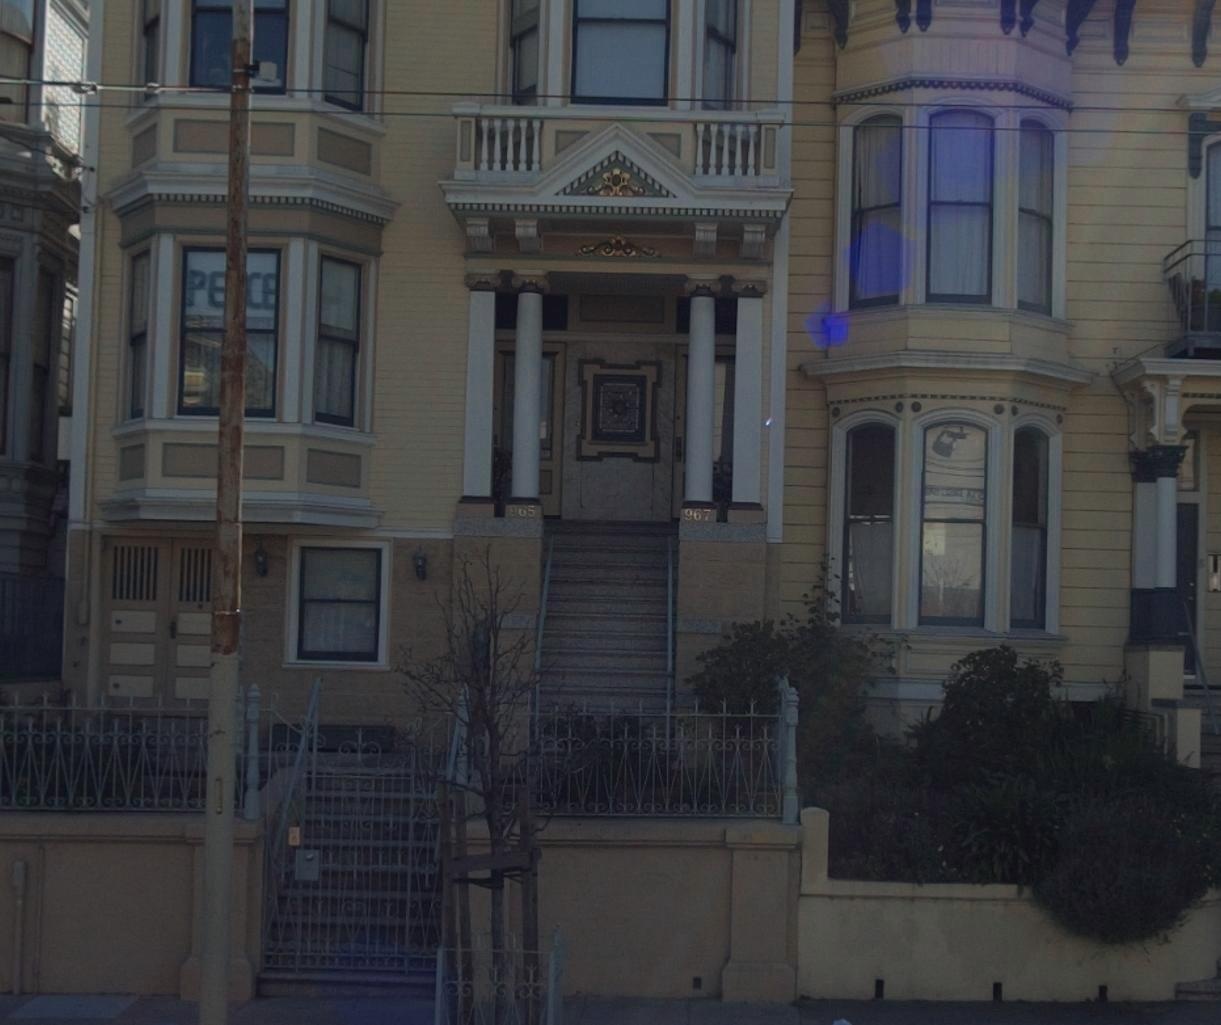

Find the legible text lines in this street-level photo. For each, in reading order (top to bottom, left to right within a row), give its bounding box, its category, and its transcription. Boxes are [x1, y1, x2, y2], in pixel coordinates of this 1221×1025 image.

[184, 268, 277, 312] None: PE*CE
[509, 504, 536, 518] StreetNumber: 965
[684, 508, 712, 522] StreetNumber: 967